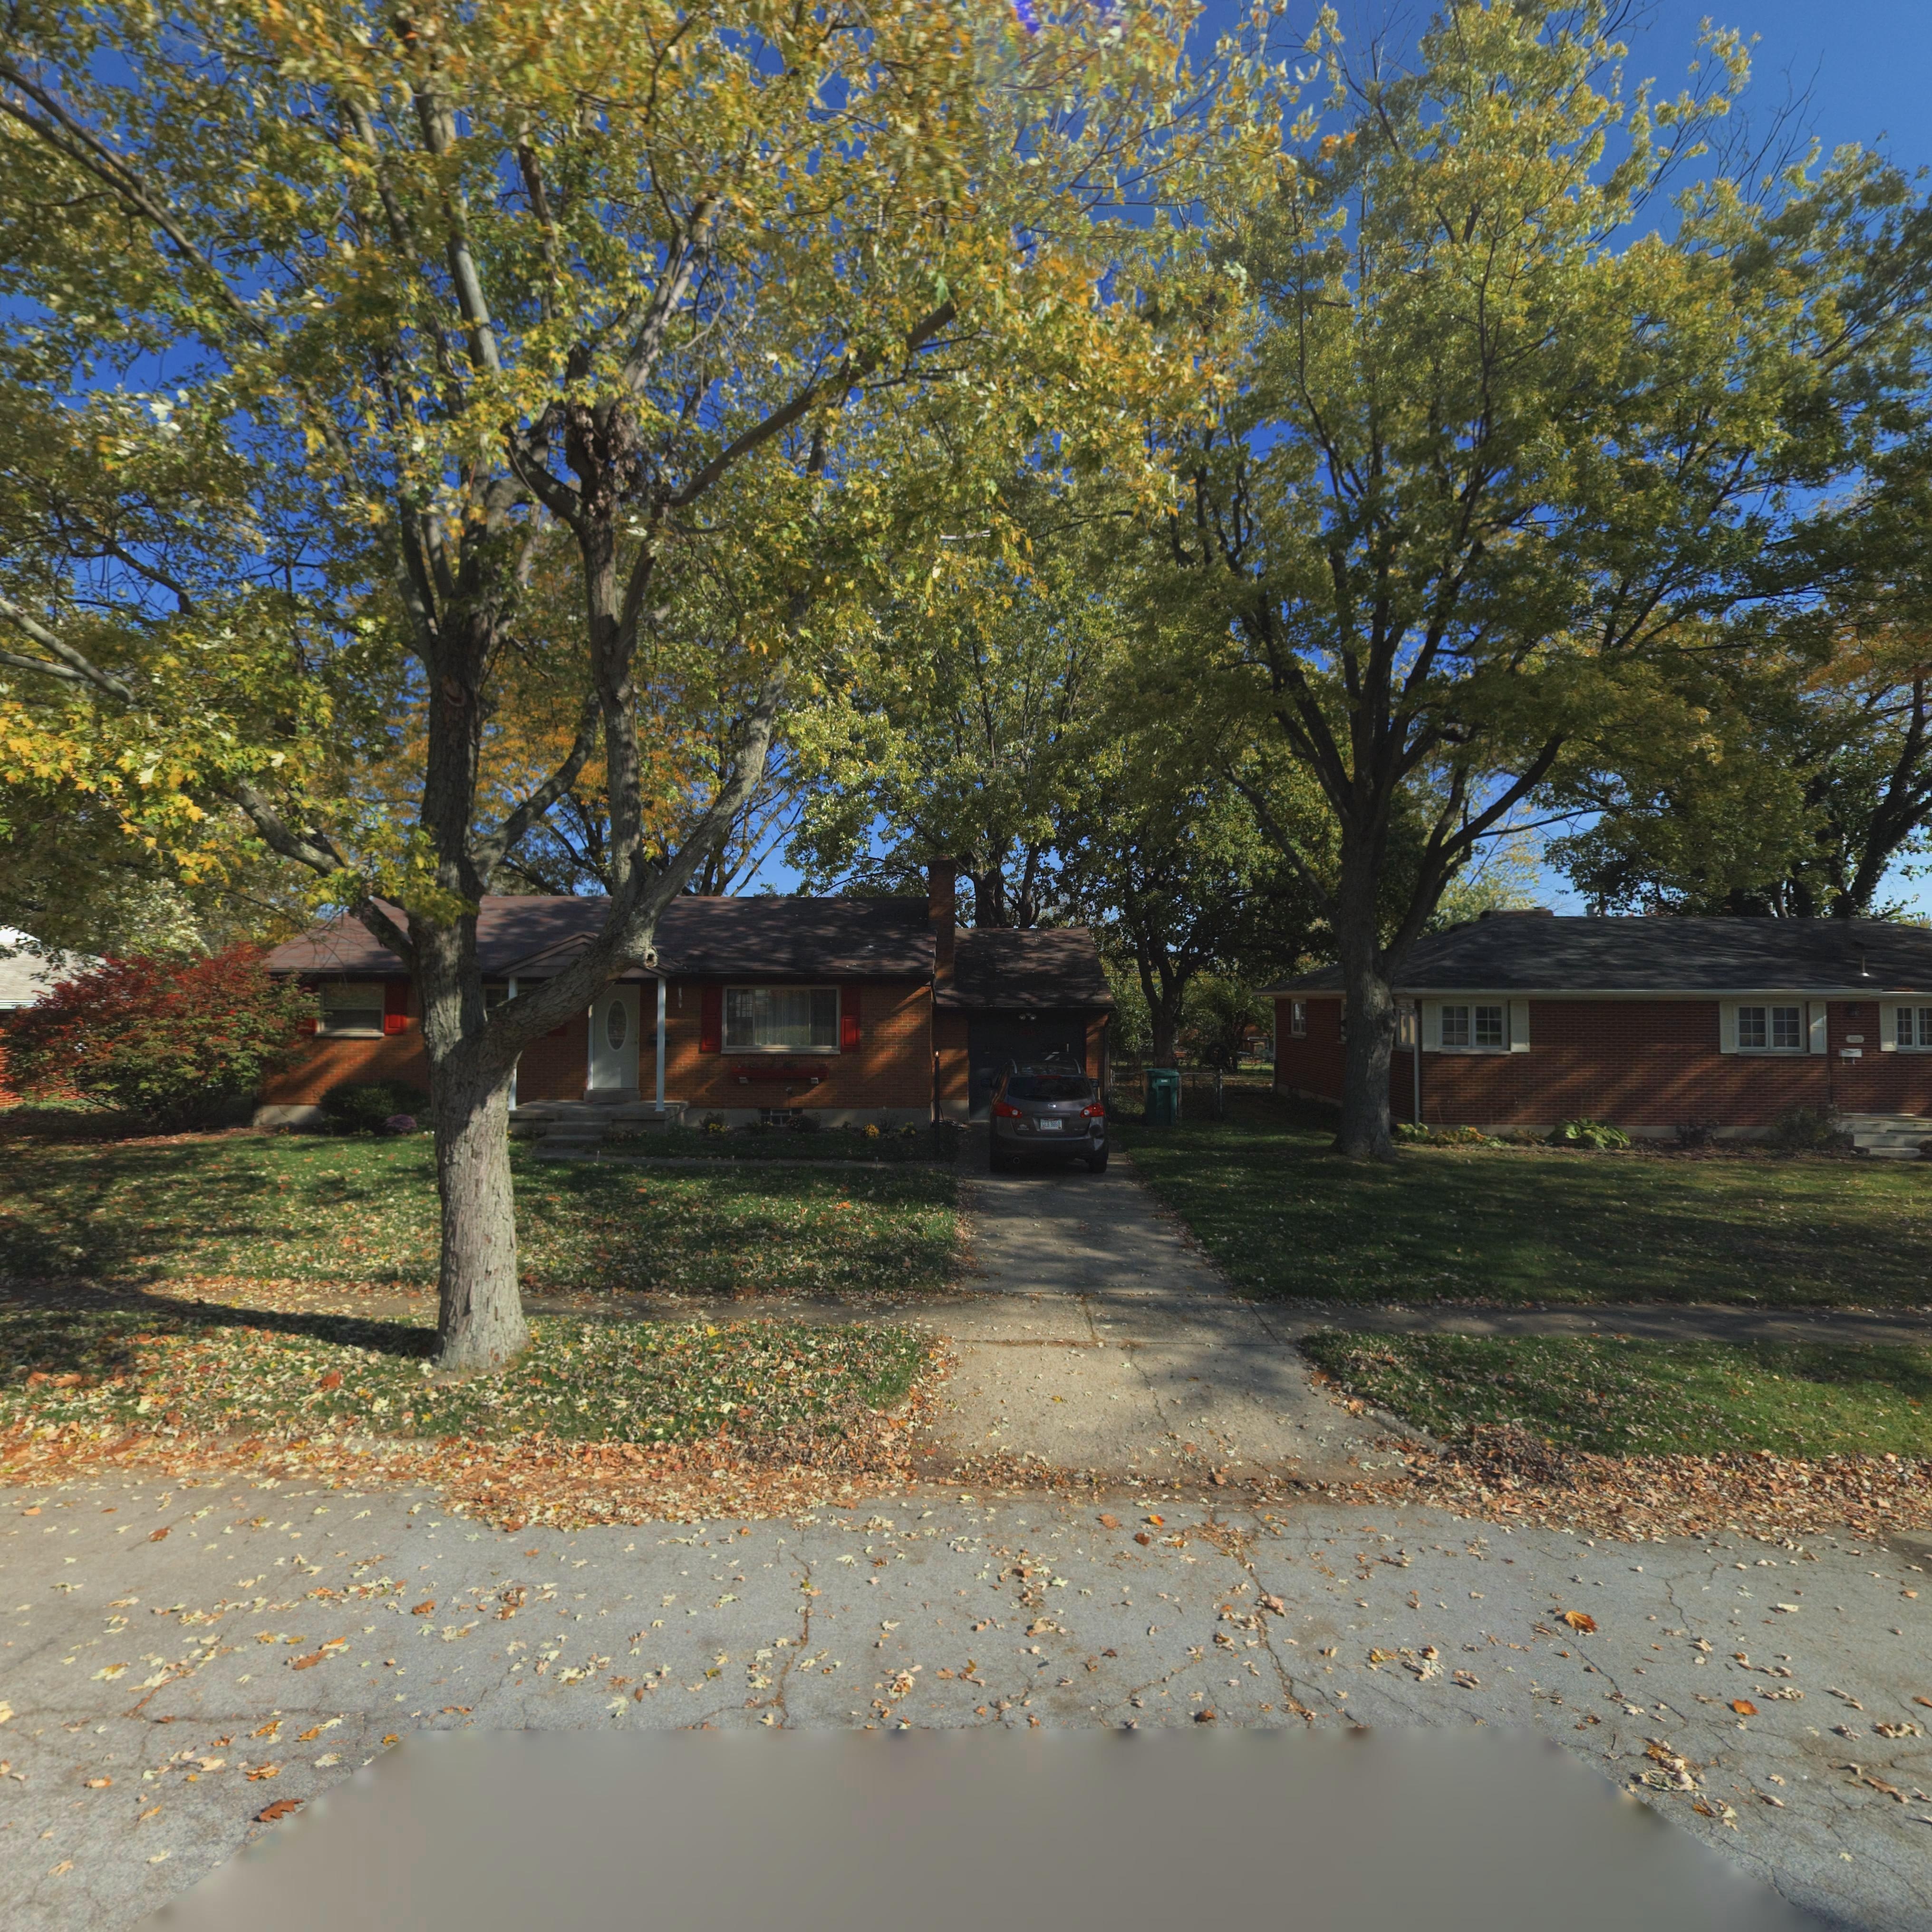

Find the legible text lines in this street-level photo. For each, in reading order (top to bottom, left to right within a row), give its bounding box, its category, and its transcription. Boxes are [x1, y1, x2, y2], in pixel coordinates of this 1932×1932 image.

[1041, 1121, 1060, 1127] None: GEB 9***